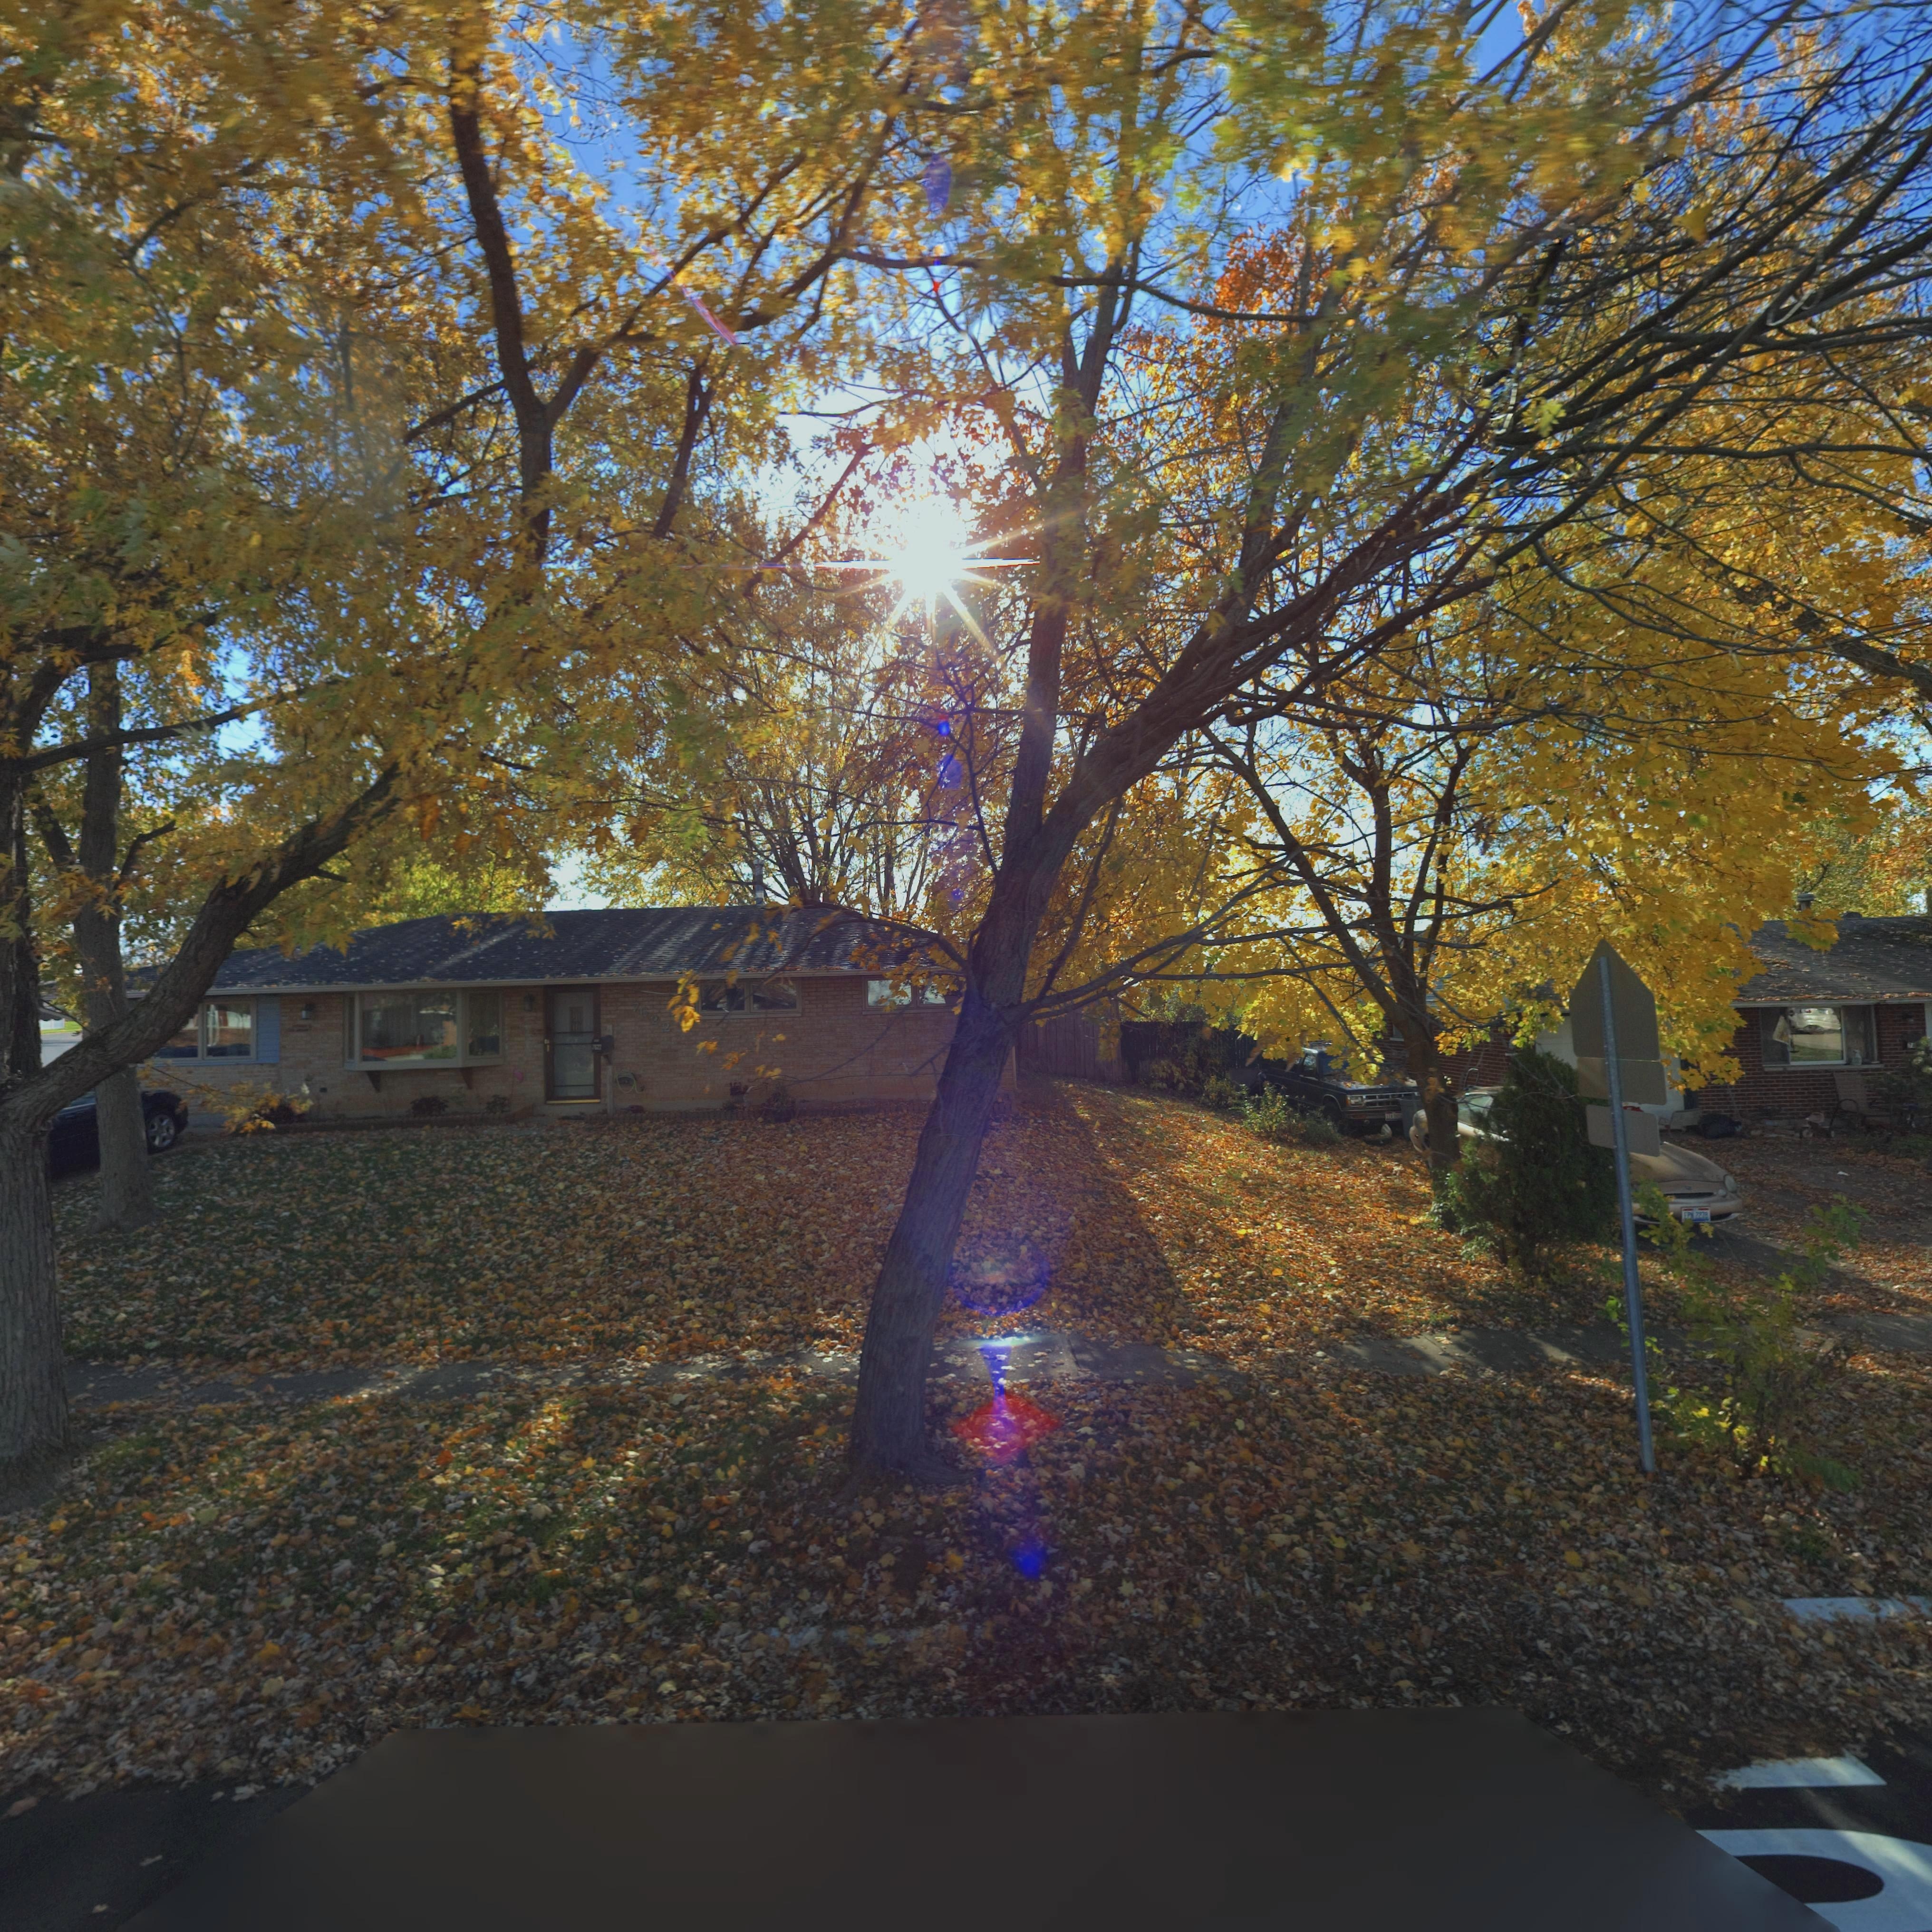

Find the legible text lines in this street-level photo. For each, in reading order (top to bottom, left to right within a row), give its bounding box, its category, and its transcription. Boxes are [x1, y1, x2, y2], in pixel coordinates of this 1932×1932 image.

[631, 1002, 671, 1034] StreetNumber: 7622